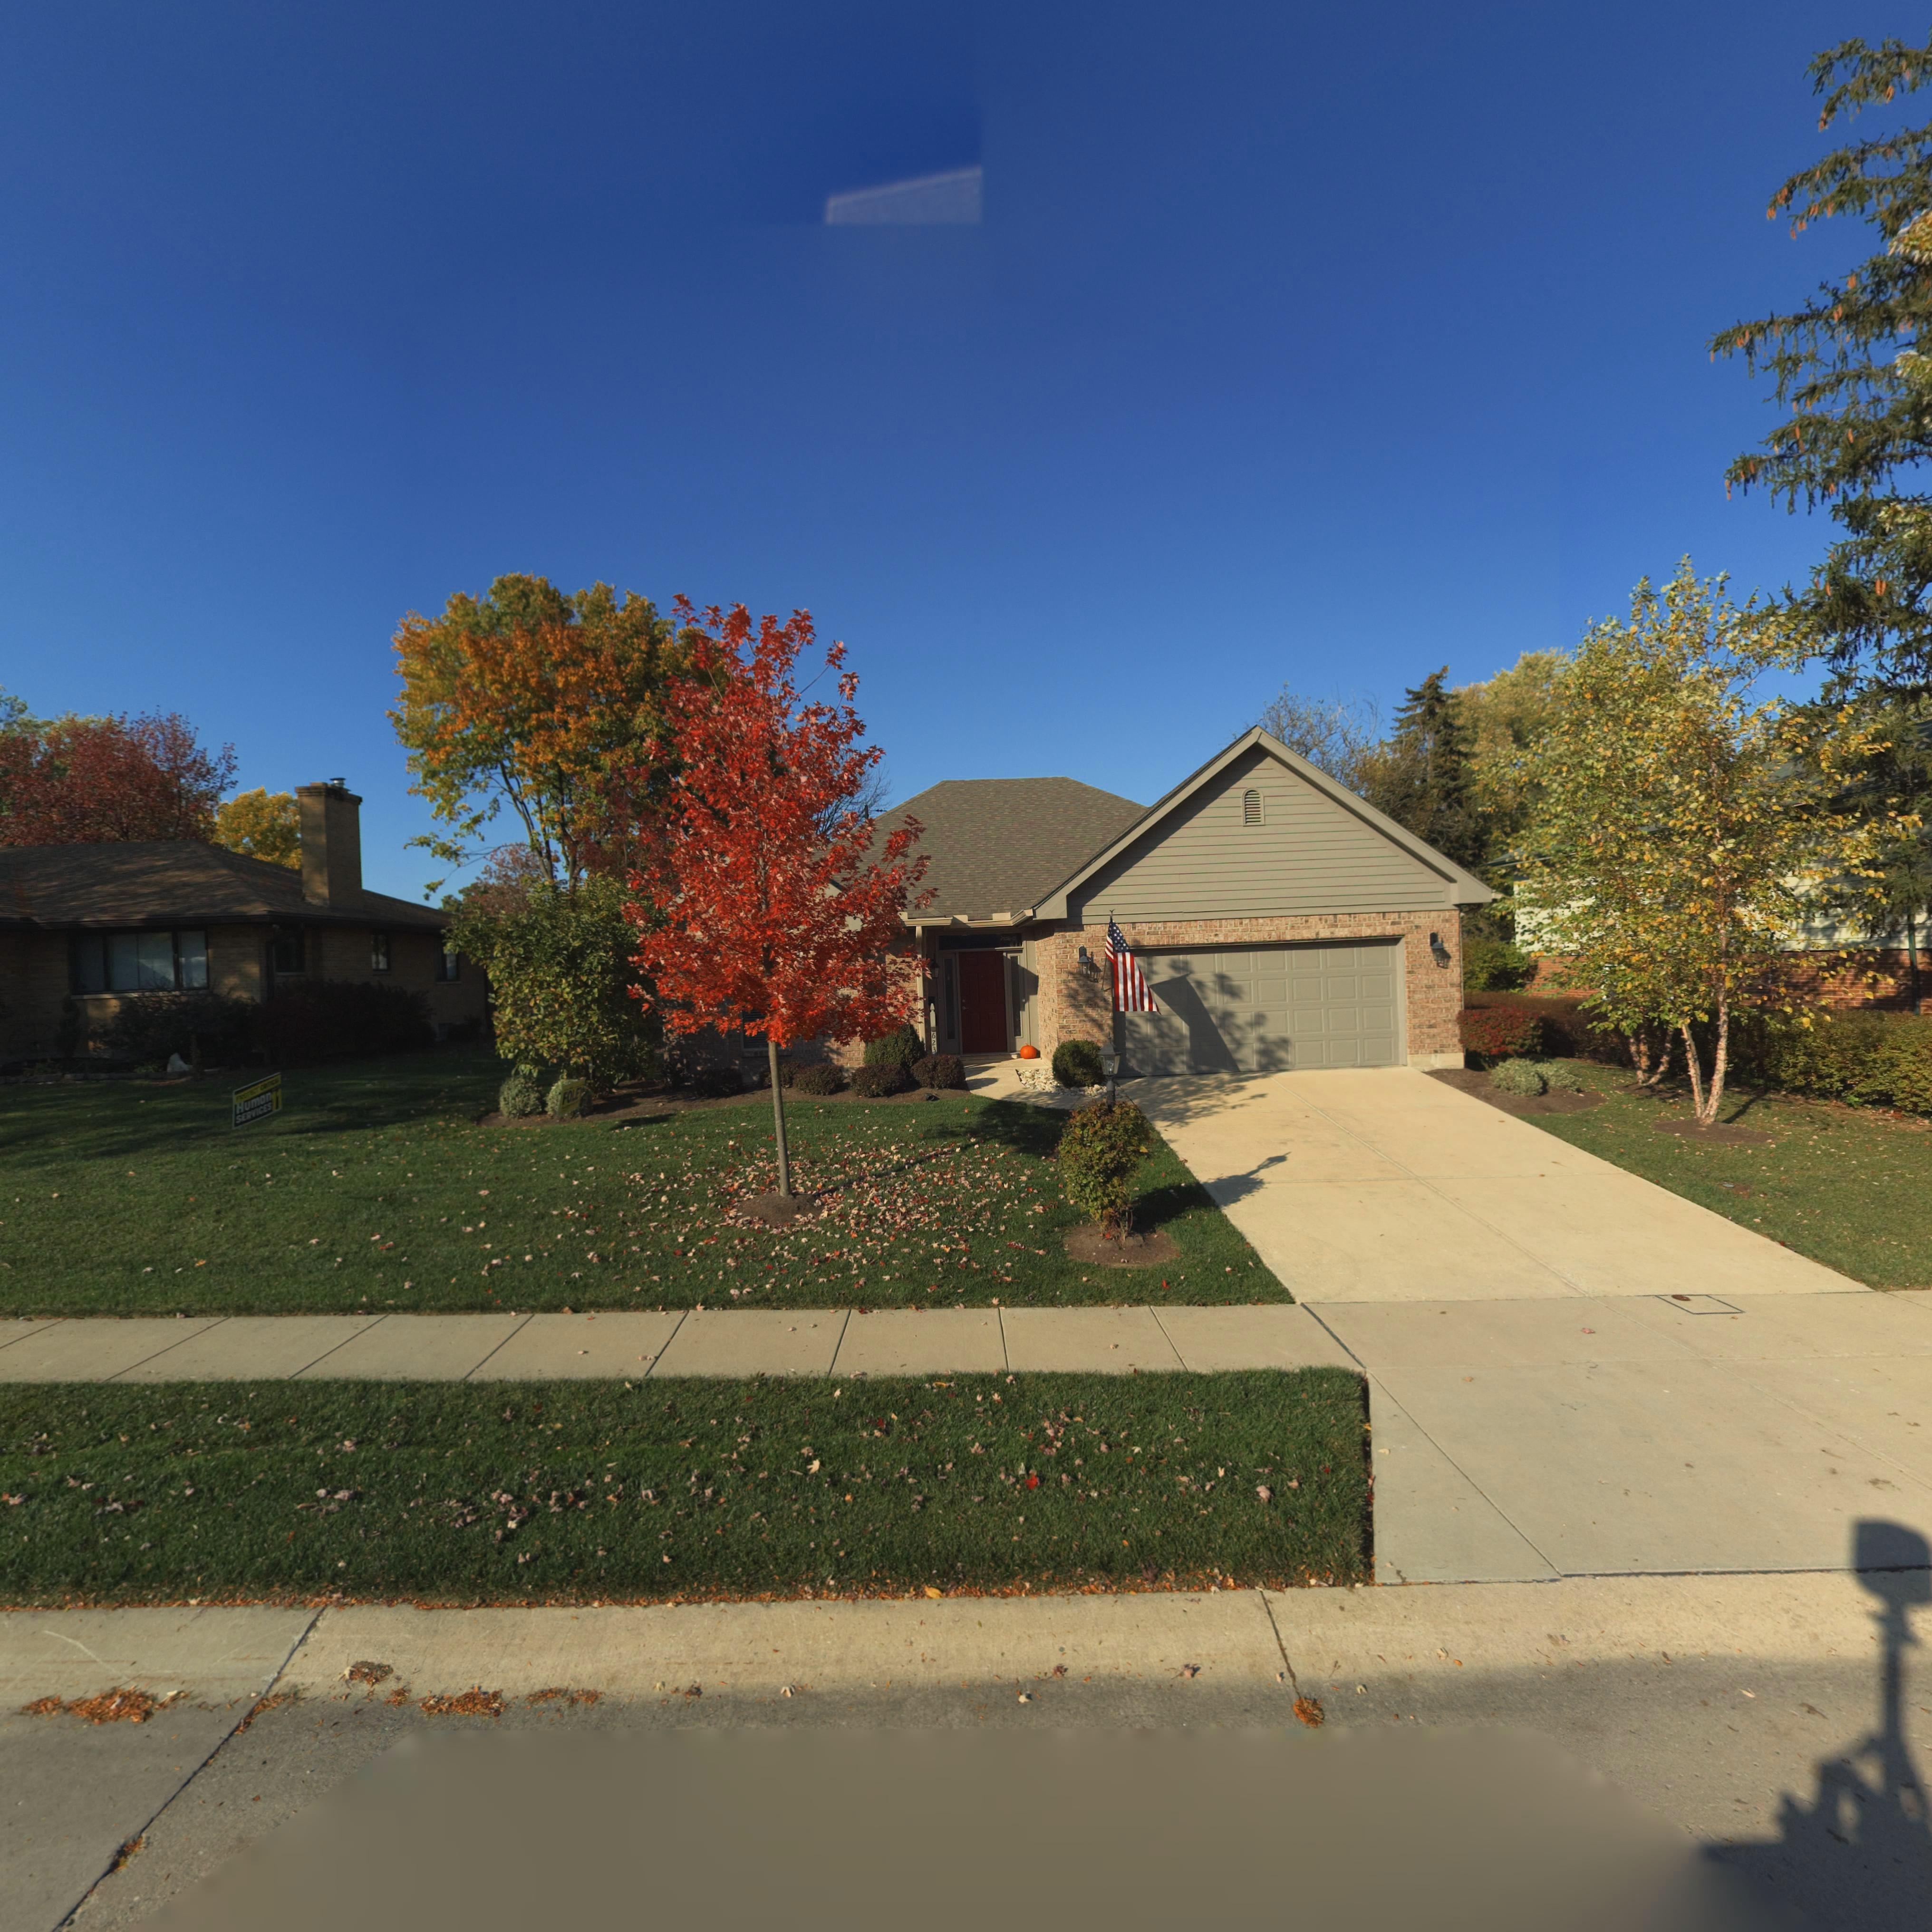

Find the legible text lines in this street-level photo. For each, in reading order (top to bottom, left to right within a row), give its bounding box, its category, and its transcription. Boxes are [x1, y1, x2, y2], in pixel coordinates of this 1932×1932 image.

[931, 1032, 937, 1053] StreetNumber: 623